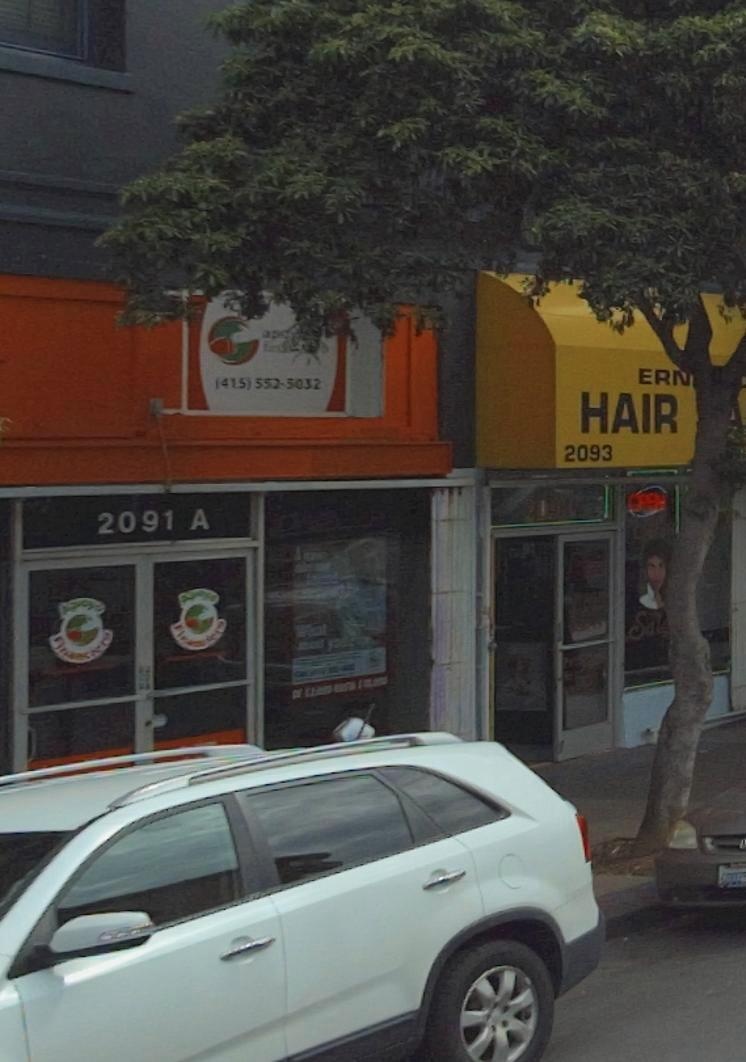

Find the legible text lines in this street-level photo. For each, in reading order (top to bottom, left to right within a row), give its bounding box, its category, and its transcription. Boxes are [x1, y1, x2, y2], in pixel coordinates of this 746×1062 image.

[214, 376, 321, 392] None: (415)552-5032
[637, 366, 693, 388] BusinessName: ERN
[580, 390, 680, 435] BusinessName: HAIR
[563, 443, 613, 463] StreetNumber: 2093
[625, 492, 667, 512] None: OPEN
[96, 507, 213, 536] StreetNumber: 2091 A
[626, 609, 663, 641] None: Sal